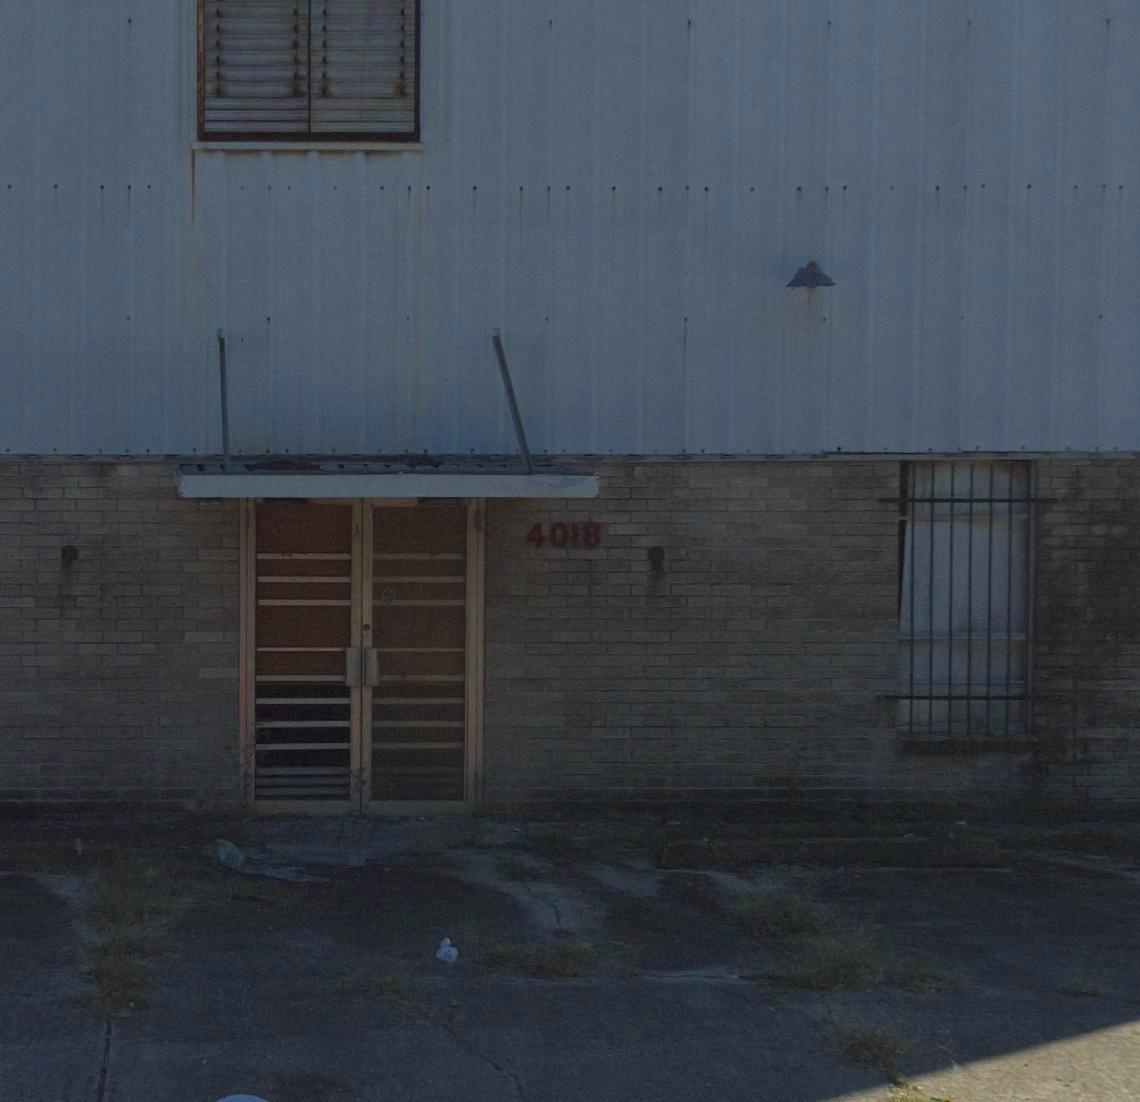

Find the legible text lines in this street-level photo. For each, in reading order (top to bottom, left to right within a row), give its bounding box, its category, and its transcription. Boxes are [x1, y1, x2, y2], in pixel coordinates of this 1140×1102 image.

[525, 520, 603, 550] StreetNumber: 4018